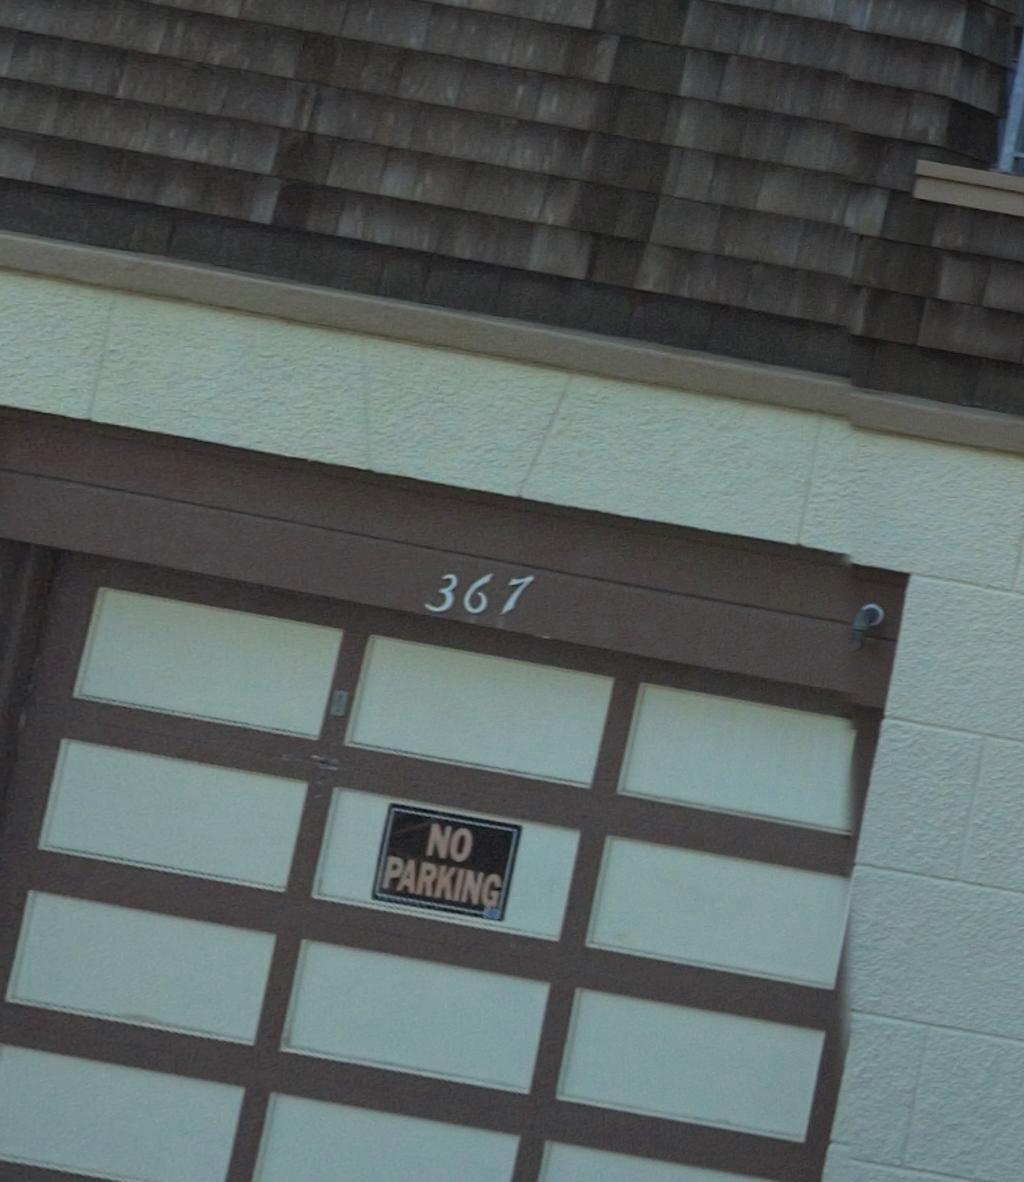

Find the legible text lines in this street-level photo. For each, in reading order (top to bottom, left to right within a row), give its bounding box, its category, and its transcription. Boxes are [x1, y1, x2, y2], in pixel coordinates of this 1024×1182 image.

[415, 571, 539, 622] StreetNumber: 367
[422, 821, 477, 866] None: NO
[380, 854, 503, 912] None: PARKING